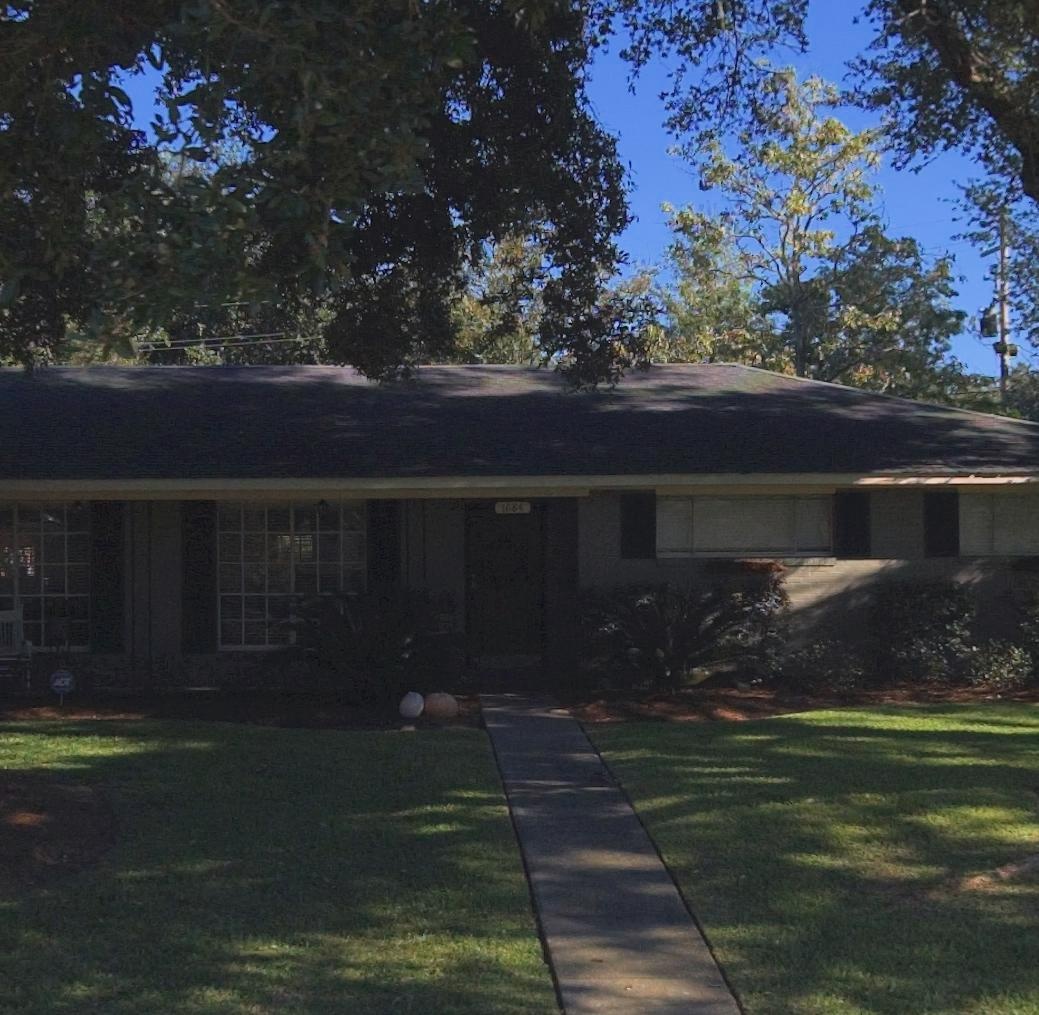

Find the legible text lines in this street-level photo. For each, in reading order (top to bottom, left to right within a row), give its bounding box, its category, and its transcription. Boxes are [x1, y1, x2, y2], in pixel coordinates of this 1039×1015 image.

[500, 500, 526, 515] StreetNumber: 1*8*